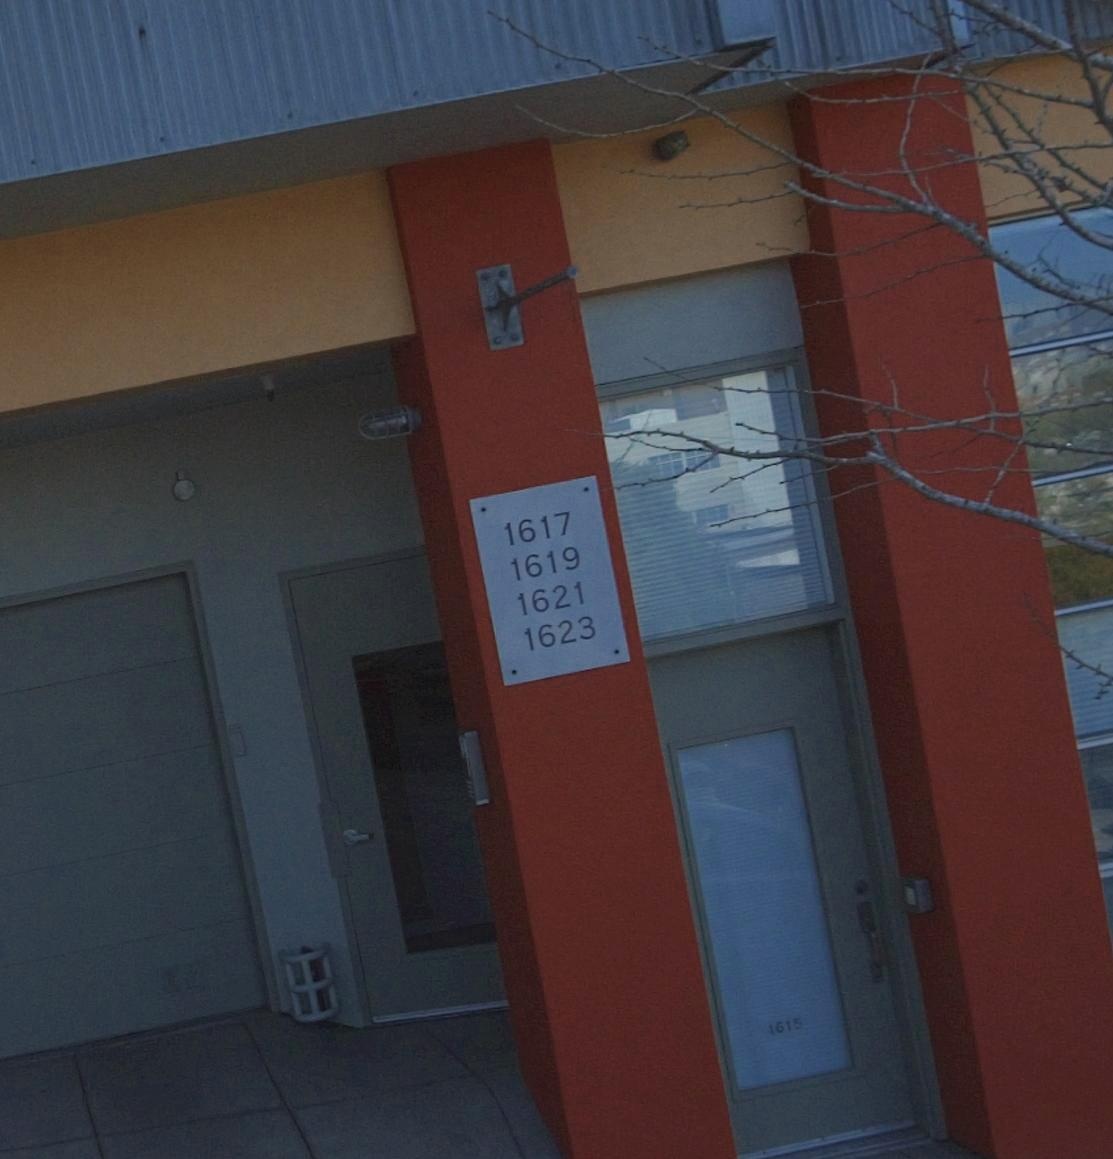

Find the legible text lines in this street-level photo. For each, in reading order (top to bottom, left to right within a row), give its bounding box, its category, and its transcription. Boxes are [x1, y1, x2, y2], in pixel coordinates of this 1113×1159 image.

[502, 509, 571, 547] StreetNumber: 1617
[509, 544, 582, 582] StreetNumber: 1619
[516, 580, 586, 618] StreetNumber: 1621
[523, 614, 597, 652] StreetNumber: 1623
[766, 1016, 804, 1037] StreetNumber: 1615